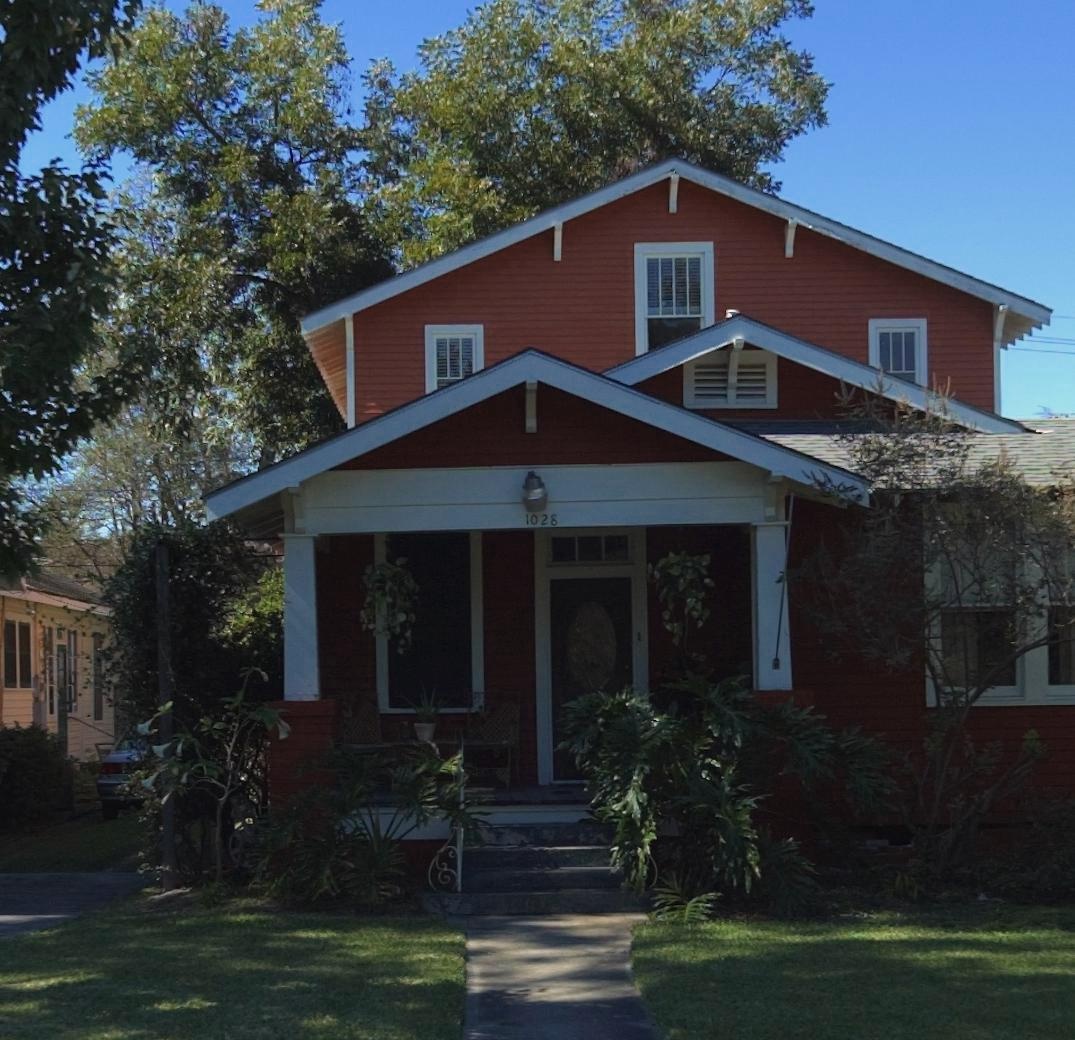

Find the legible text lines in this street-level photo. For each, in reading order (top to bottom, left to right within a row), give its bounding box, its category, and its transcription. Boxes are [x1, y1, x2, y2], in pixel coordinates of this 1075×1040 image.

[524, 512, 559, 528] StreetNumber: 1028